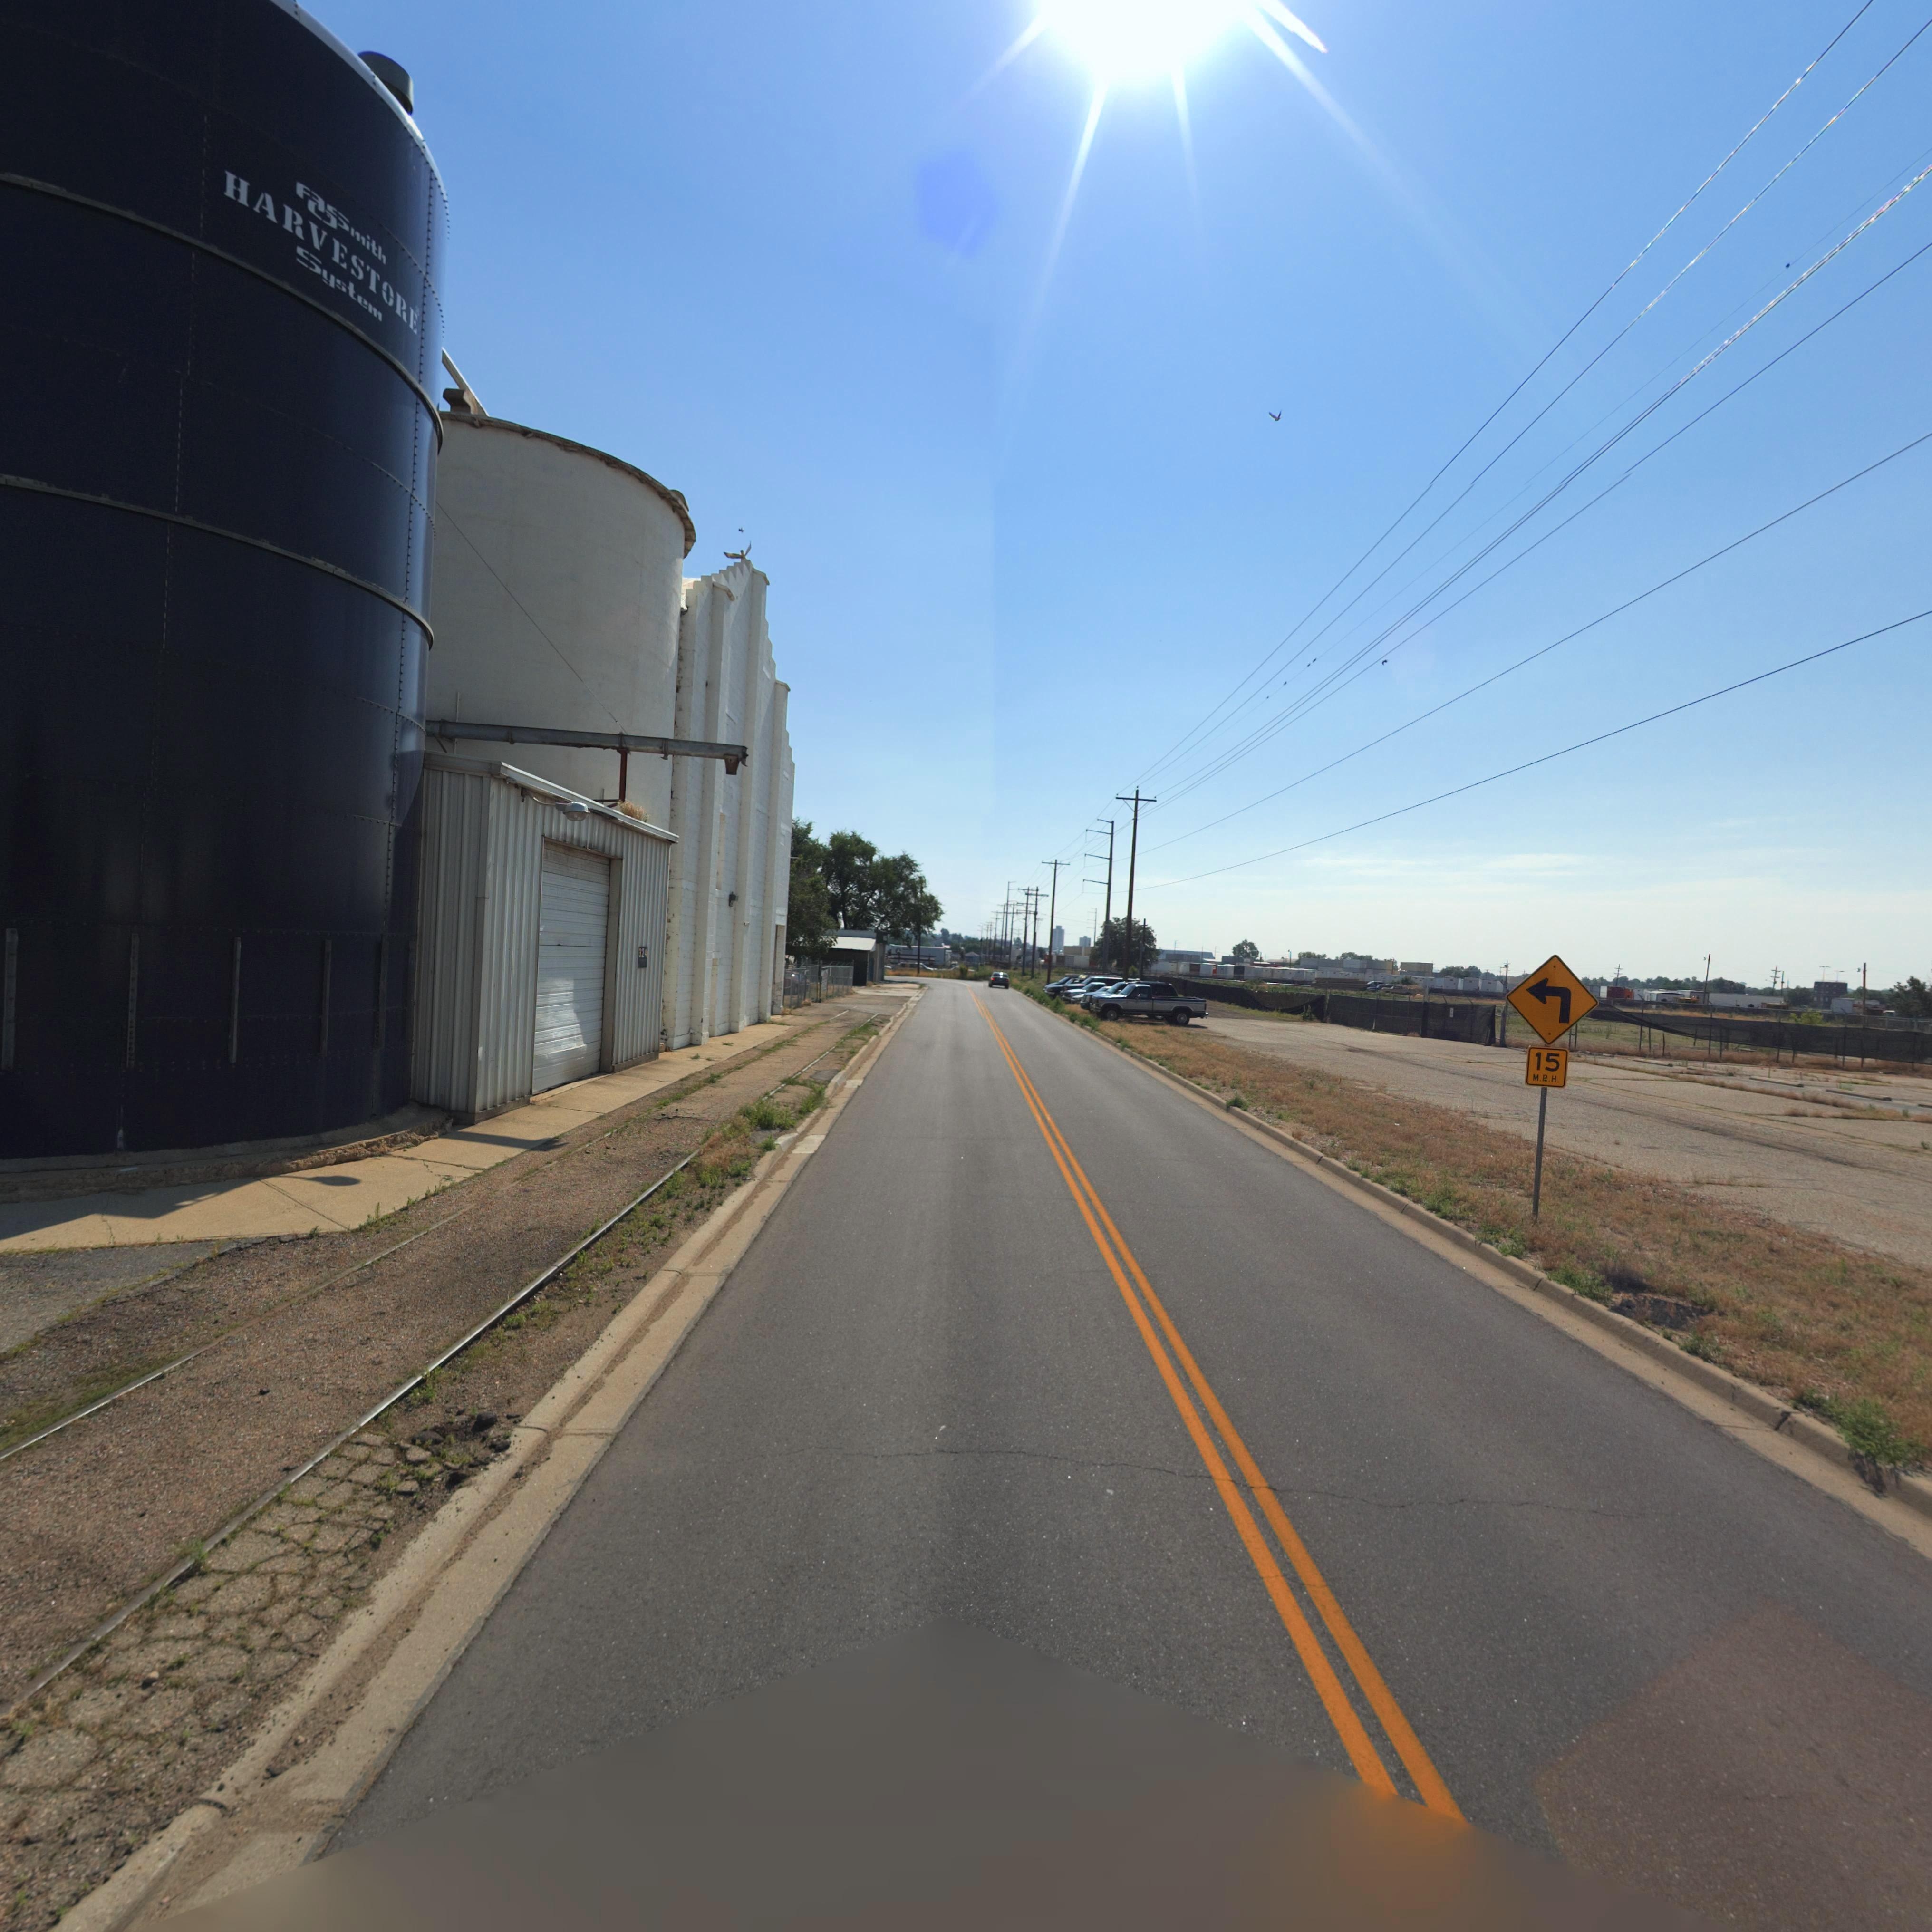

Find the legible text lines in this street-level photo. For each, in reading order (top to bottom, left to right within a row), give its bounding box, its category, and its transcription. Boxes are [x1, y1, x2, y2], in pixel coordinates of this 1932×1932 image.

[638, 947, 647, 958] StreetNumber: 324